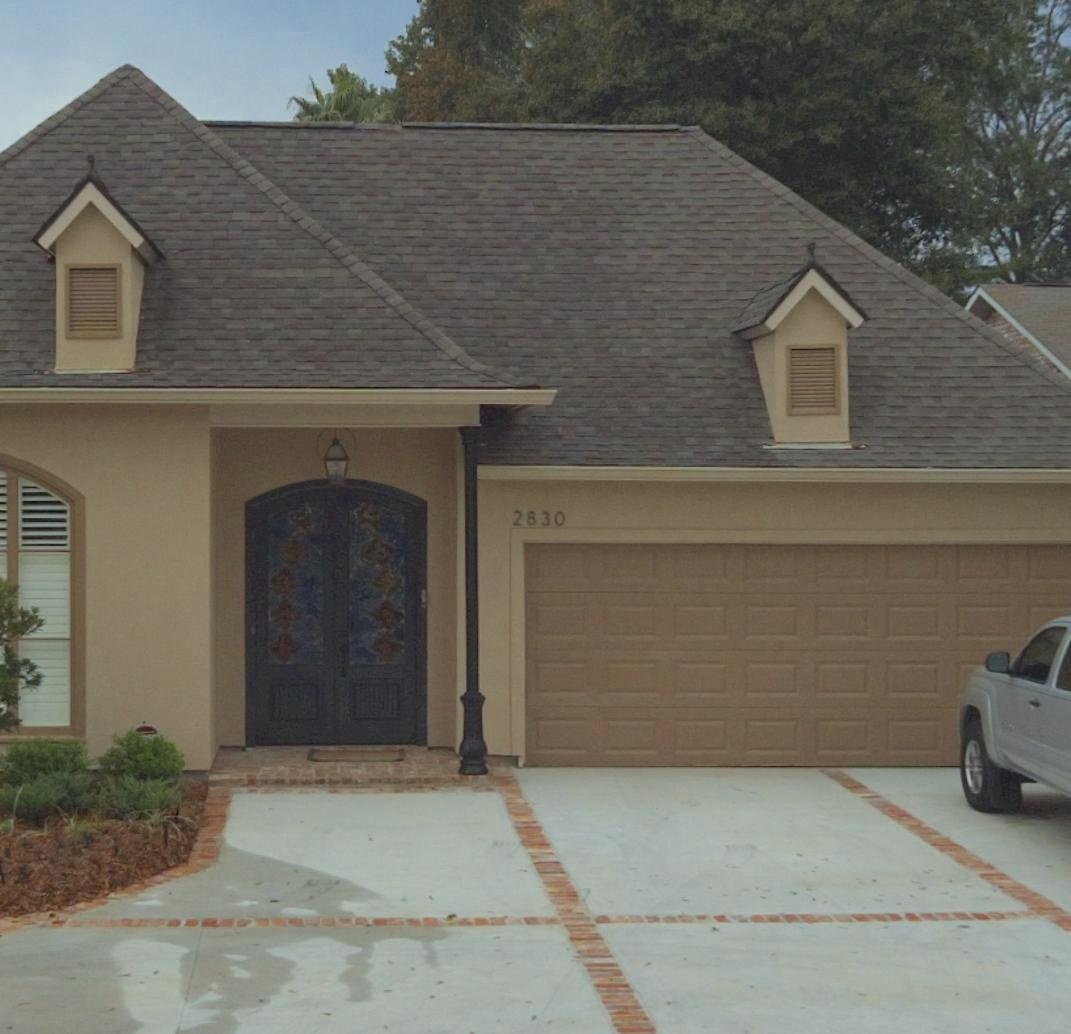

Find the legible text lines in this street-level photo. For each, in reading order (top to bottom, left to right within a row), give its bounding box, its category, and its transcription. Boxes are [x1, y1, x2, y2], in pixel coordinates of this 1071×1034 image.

[512, 509, 565, 527] StreetNumber: 2830